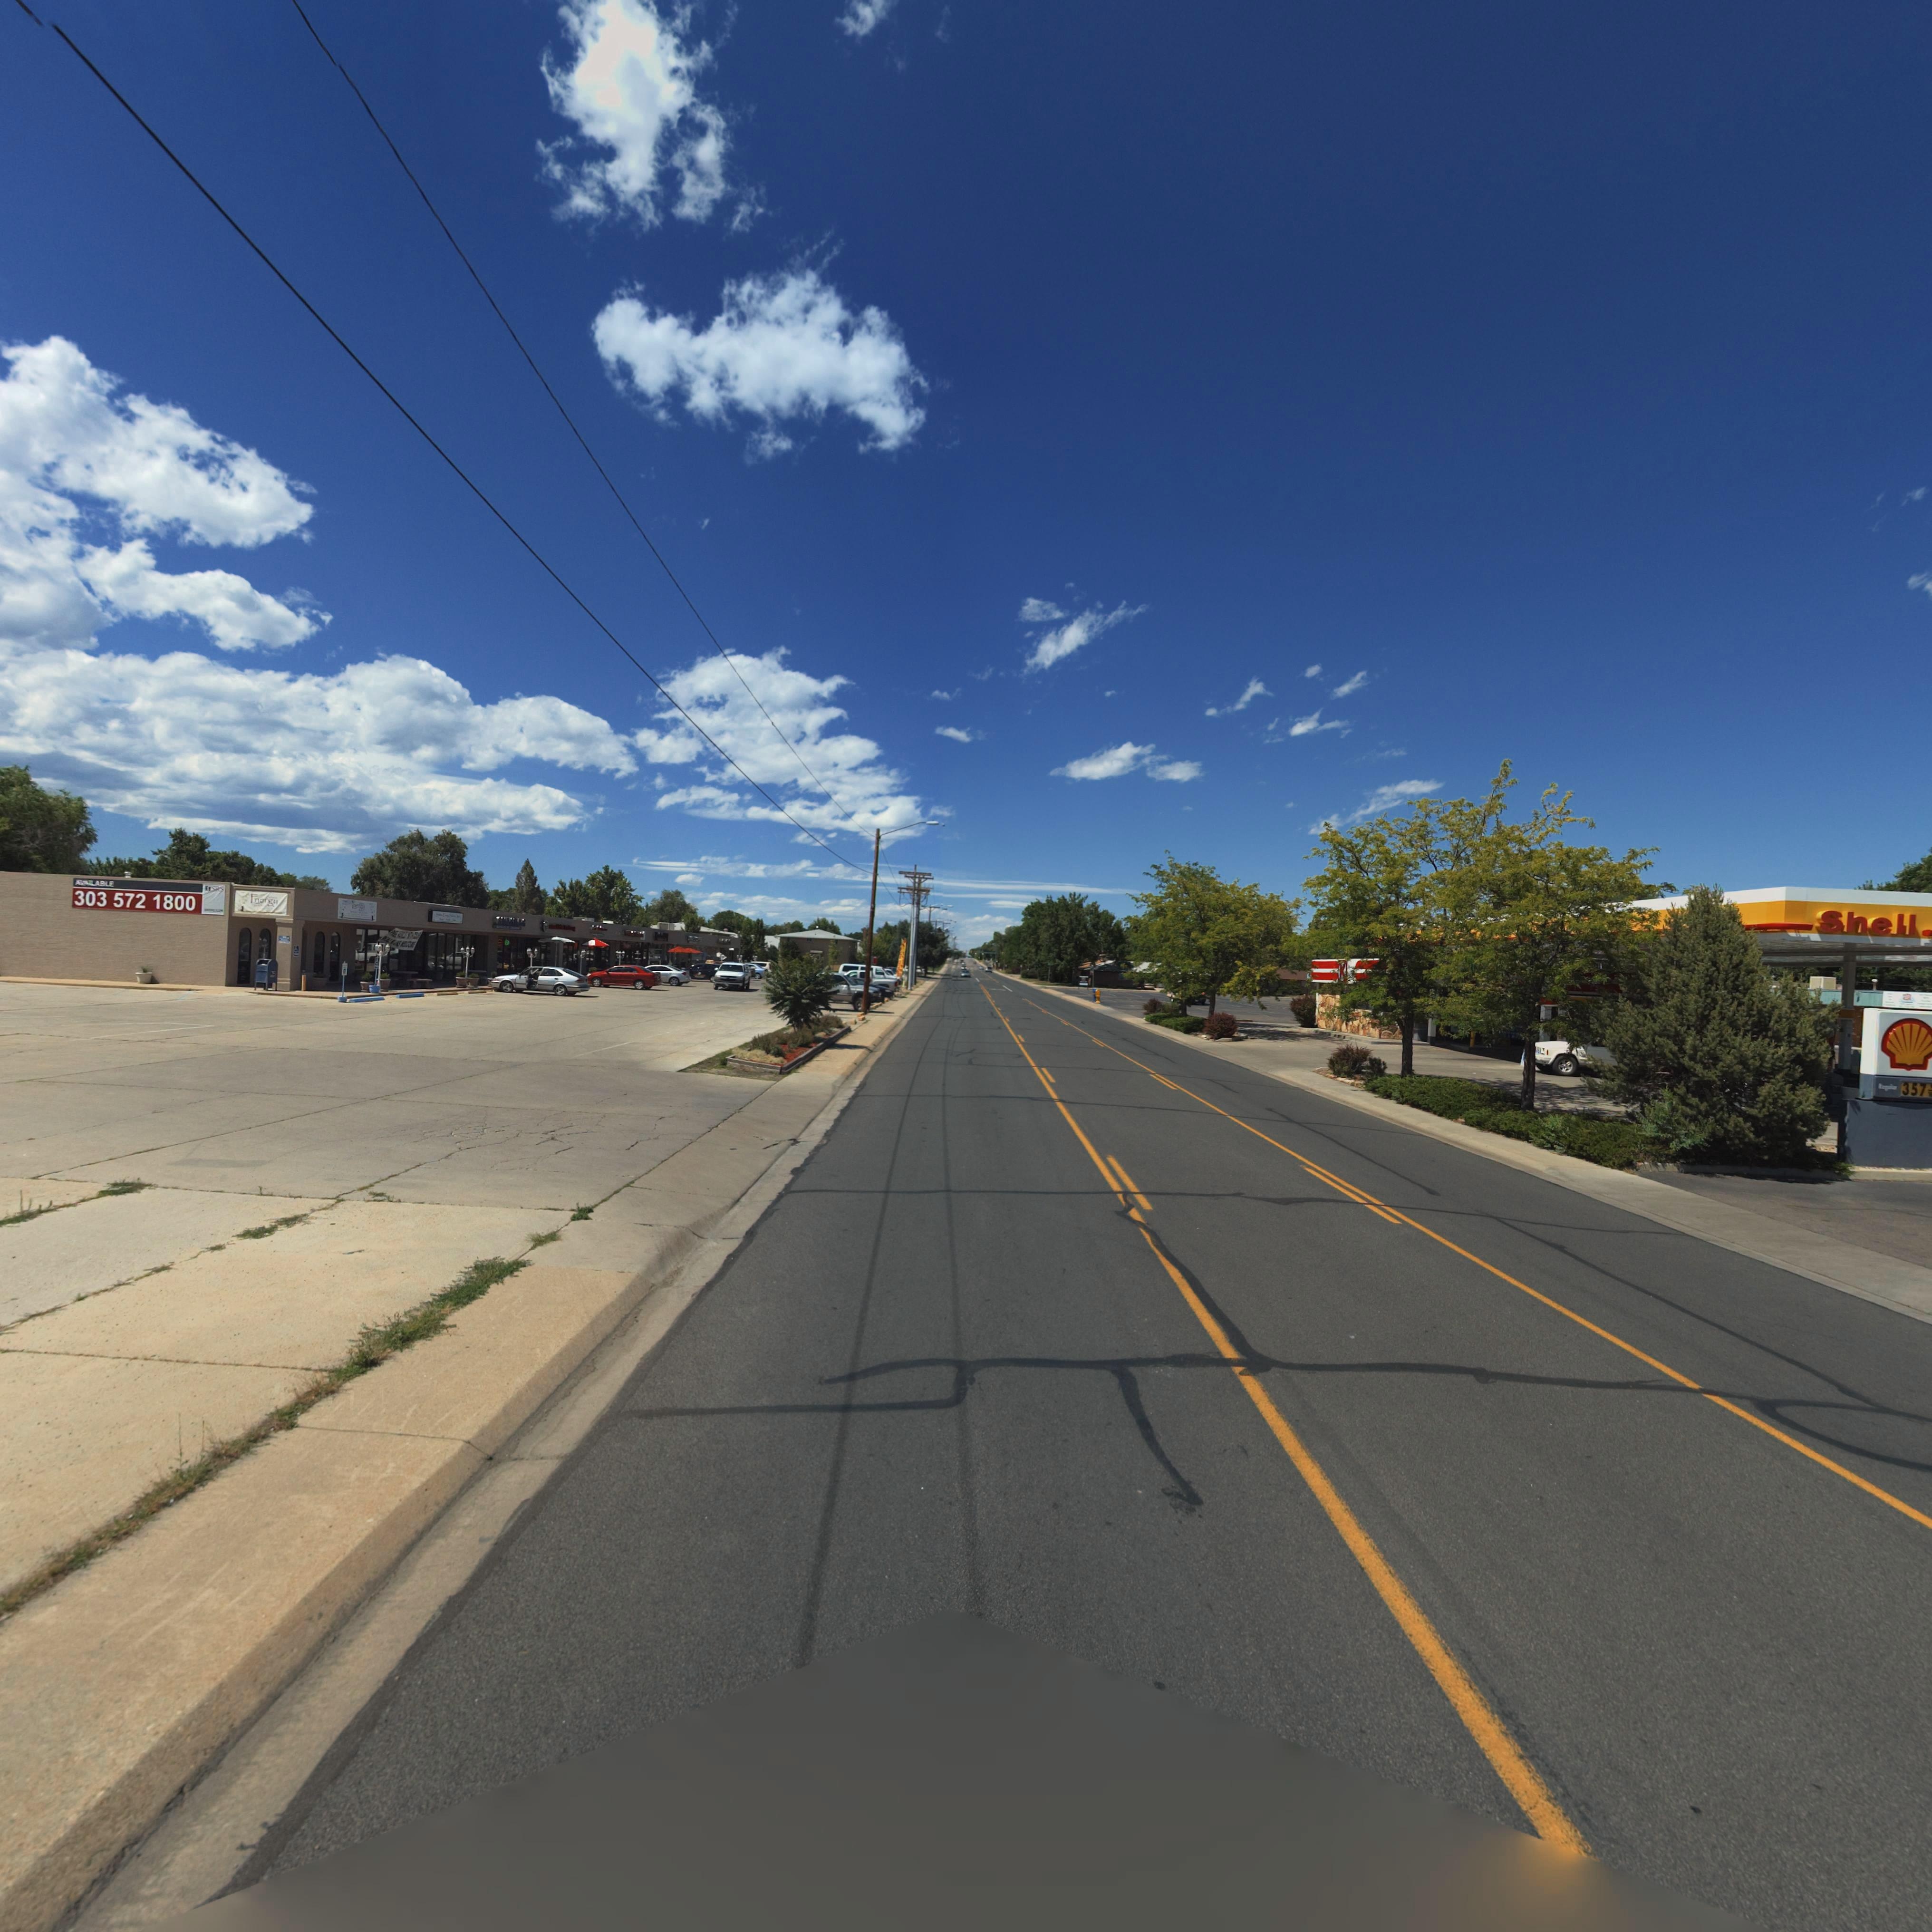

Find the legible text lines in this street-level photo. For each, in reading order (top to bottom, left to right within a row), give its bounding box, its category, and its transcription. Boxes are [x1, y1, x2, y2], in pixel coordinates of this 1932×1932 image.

[250, 893, 279, 907] StreetNumber: Energy
[351, 900, 365, 911] BusinessName: E*ergy
[435, 911, 462, 918] BusinessName: S*** E*** S** S*
[1815, 907, 1920, 938] BusinessName: Shell